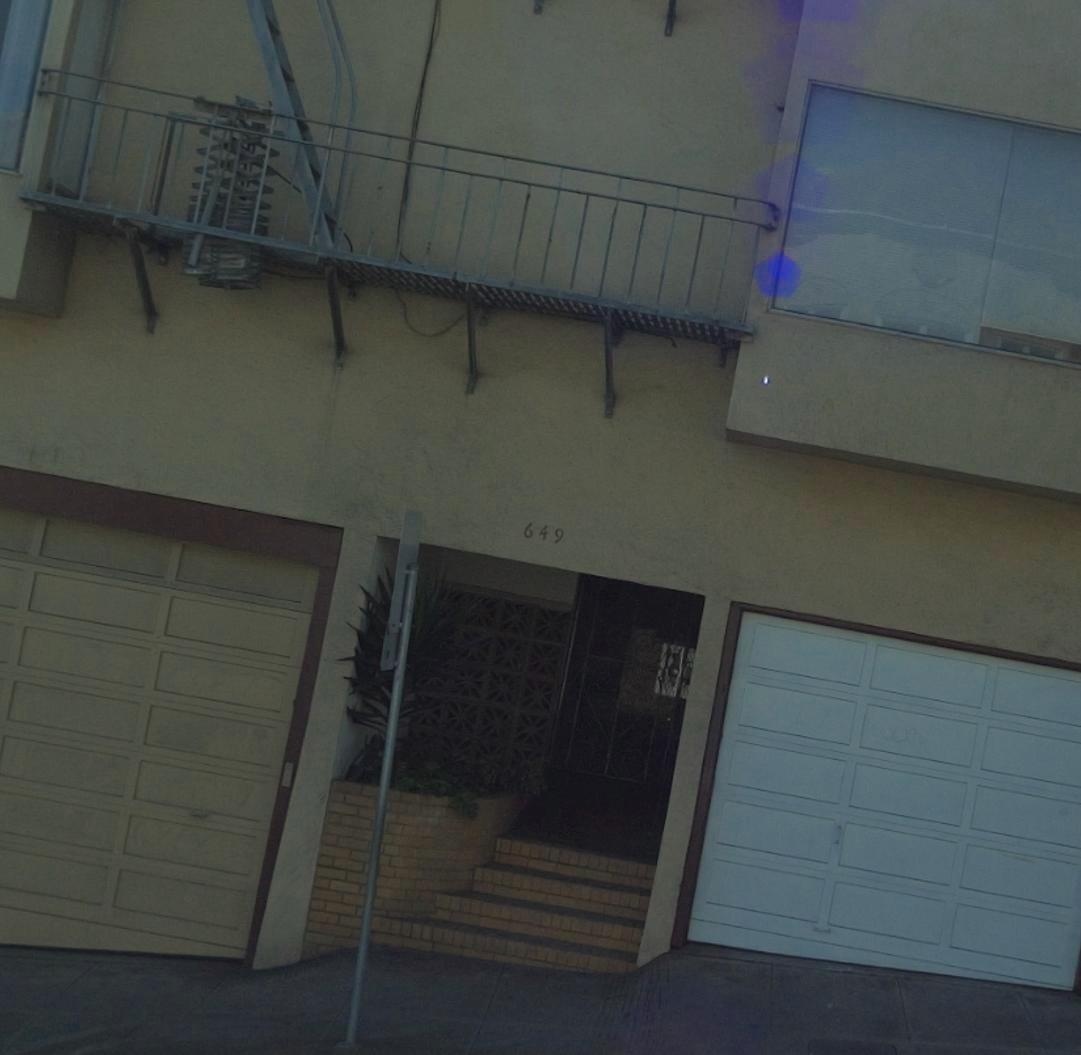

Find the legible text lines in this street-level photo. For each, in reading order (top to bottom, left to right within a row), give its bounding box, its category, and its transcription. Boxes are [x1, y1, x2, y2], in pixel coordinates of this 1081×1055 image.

[521, 520, 566, 546] StreetNumber: 649